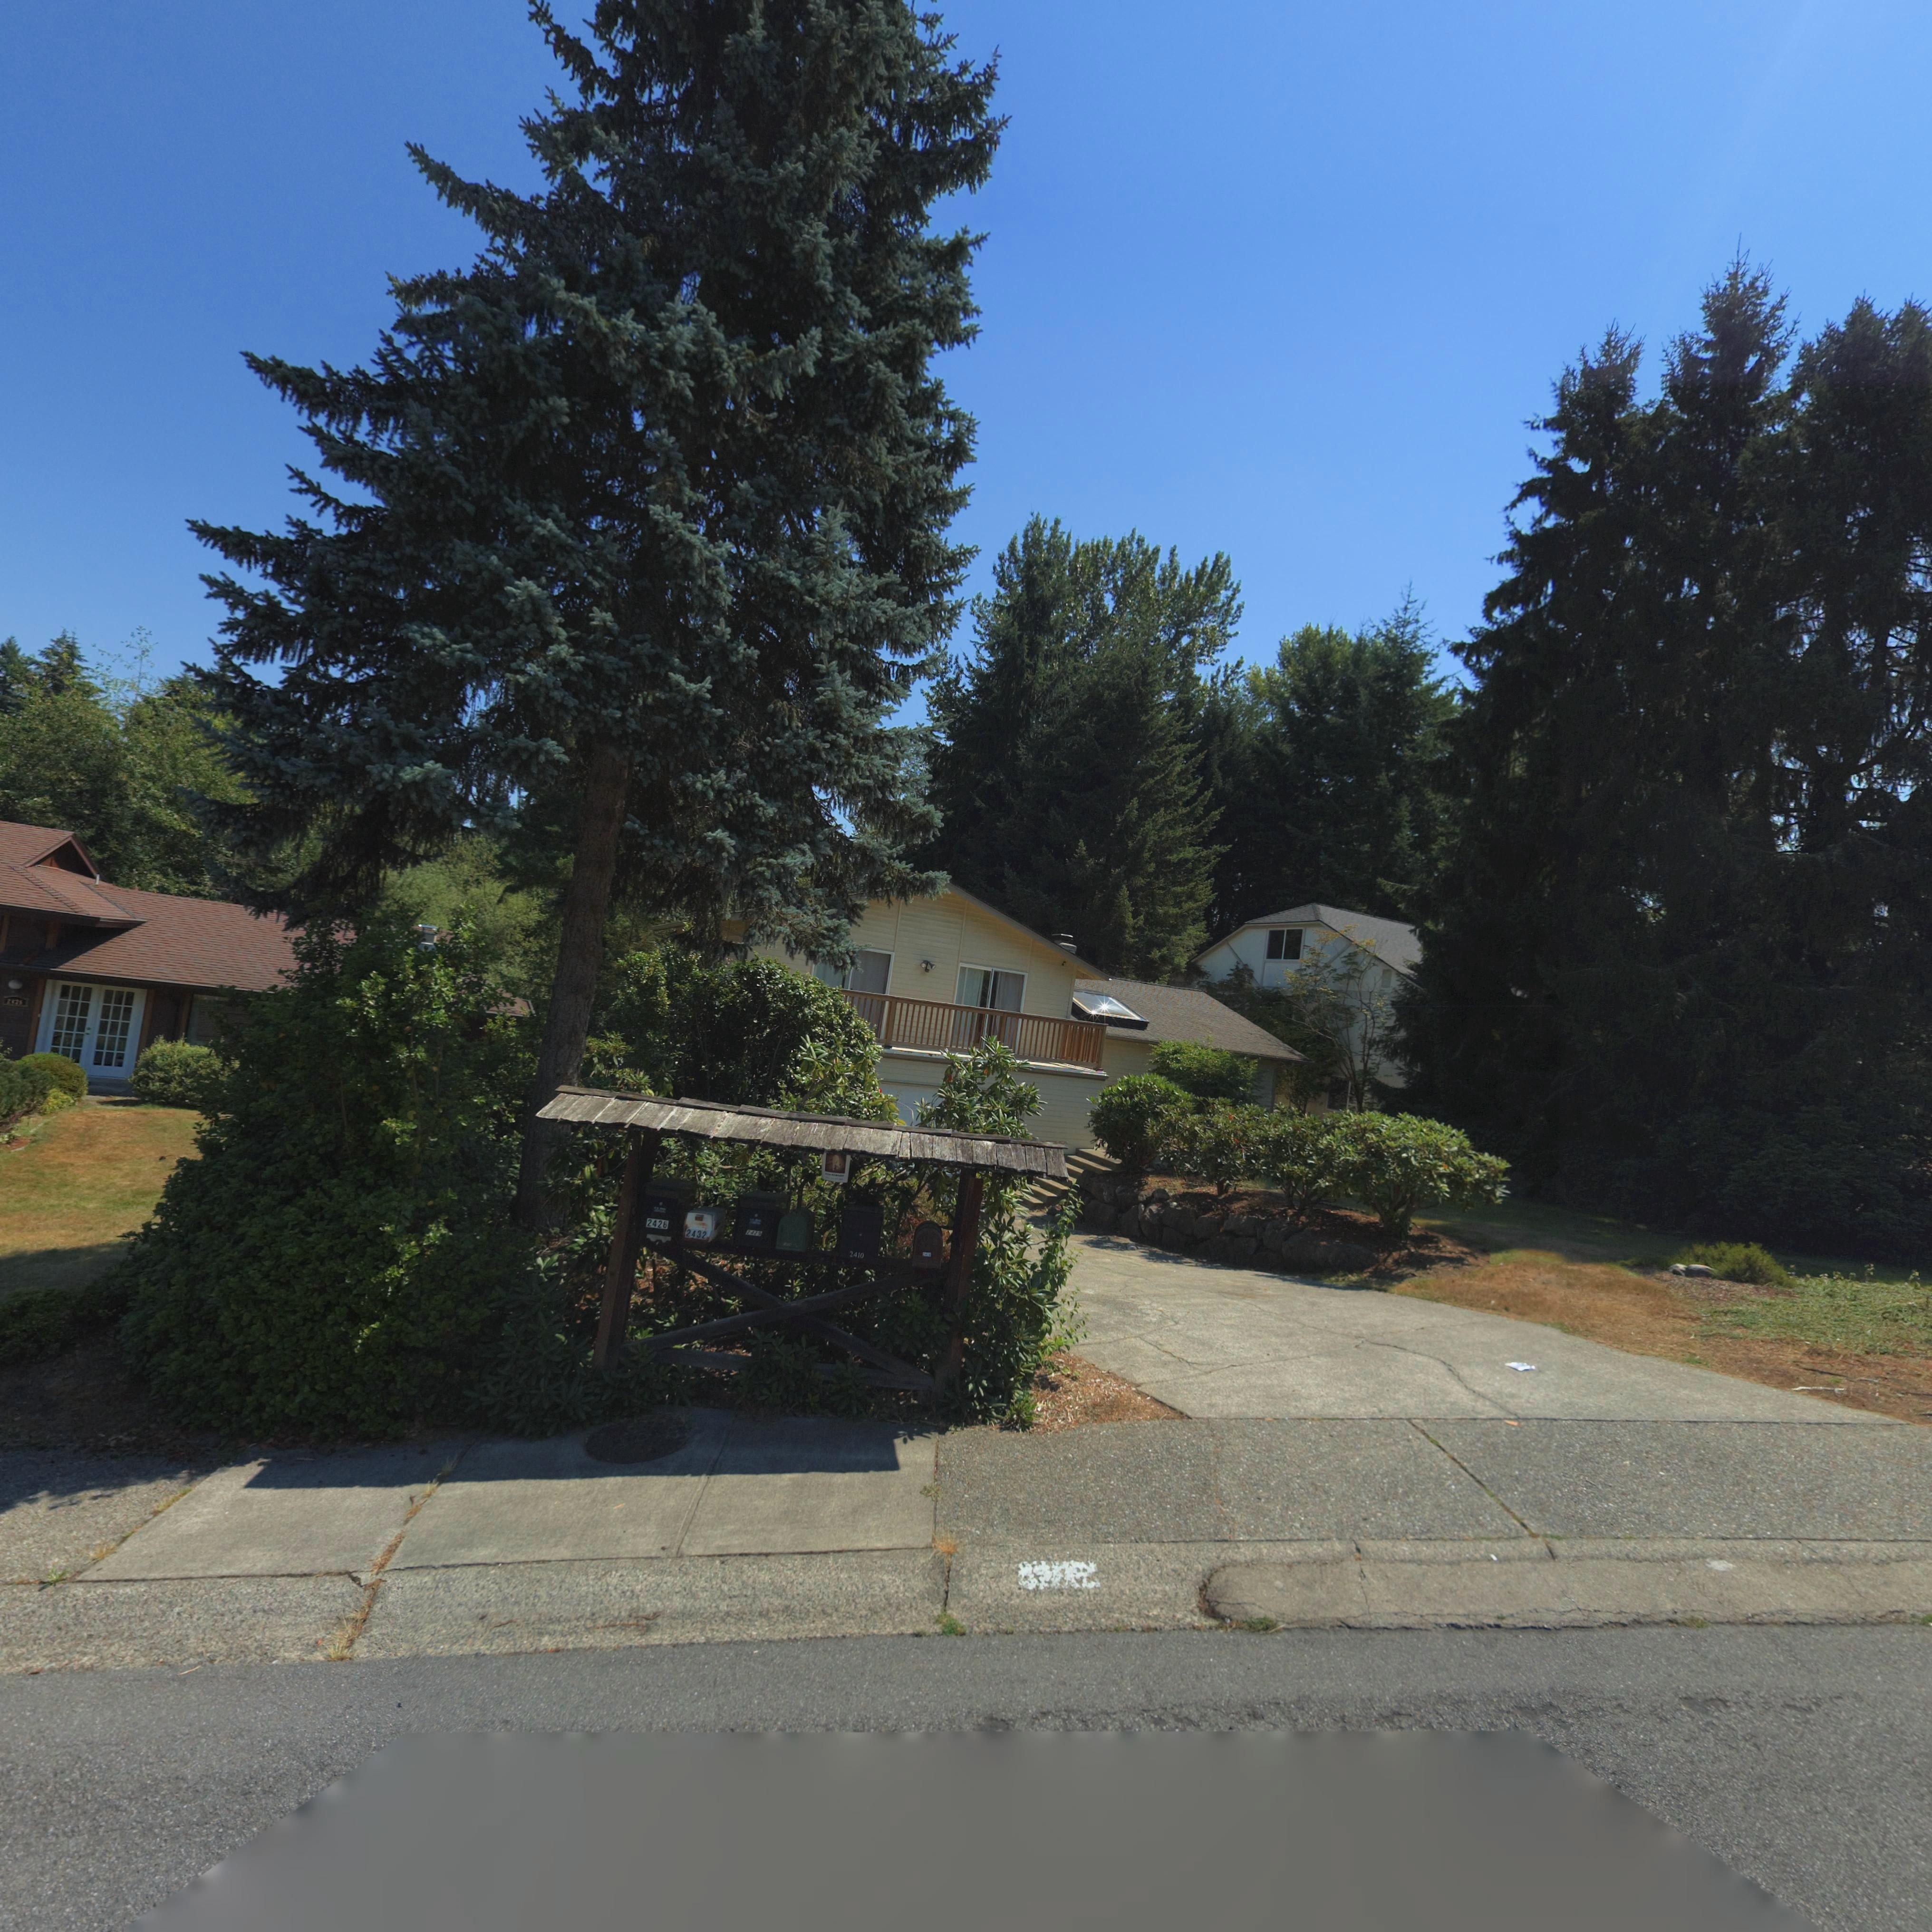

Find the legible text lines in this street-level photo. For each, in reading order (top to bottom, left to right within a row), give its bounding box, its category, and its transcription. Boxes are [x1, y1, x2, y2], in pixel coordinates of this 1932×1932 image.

[646, 1217, 669, 1229] StreetNumber: 2426
[685, 1227, 707, 1239] StreetNumber: 2432
[848, 1250, 865, 1259] StreetNumber: 2410